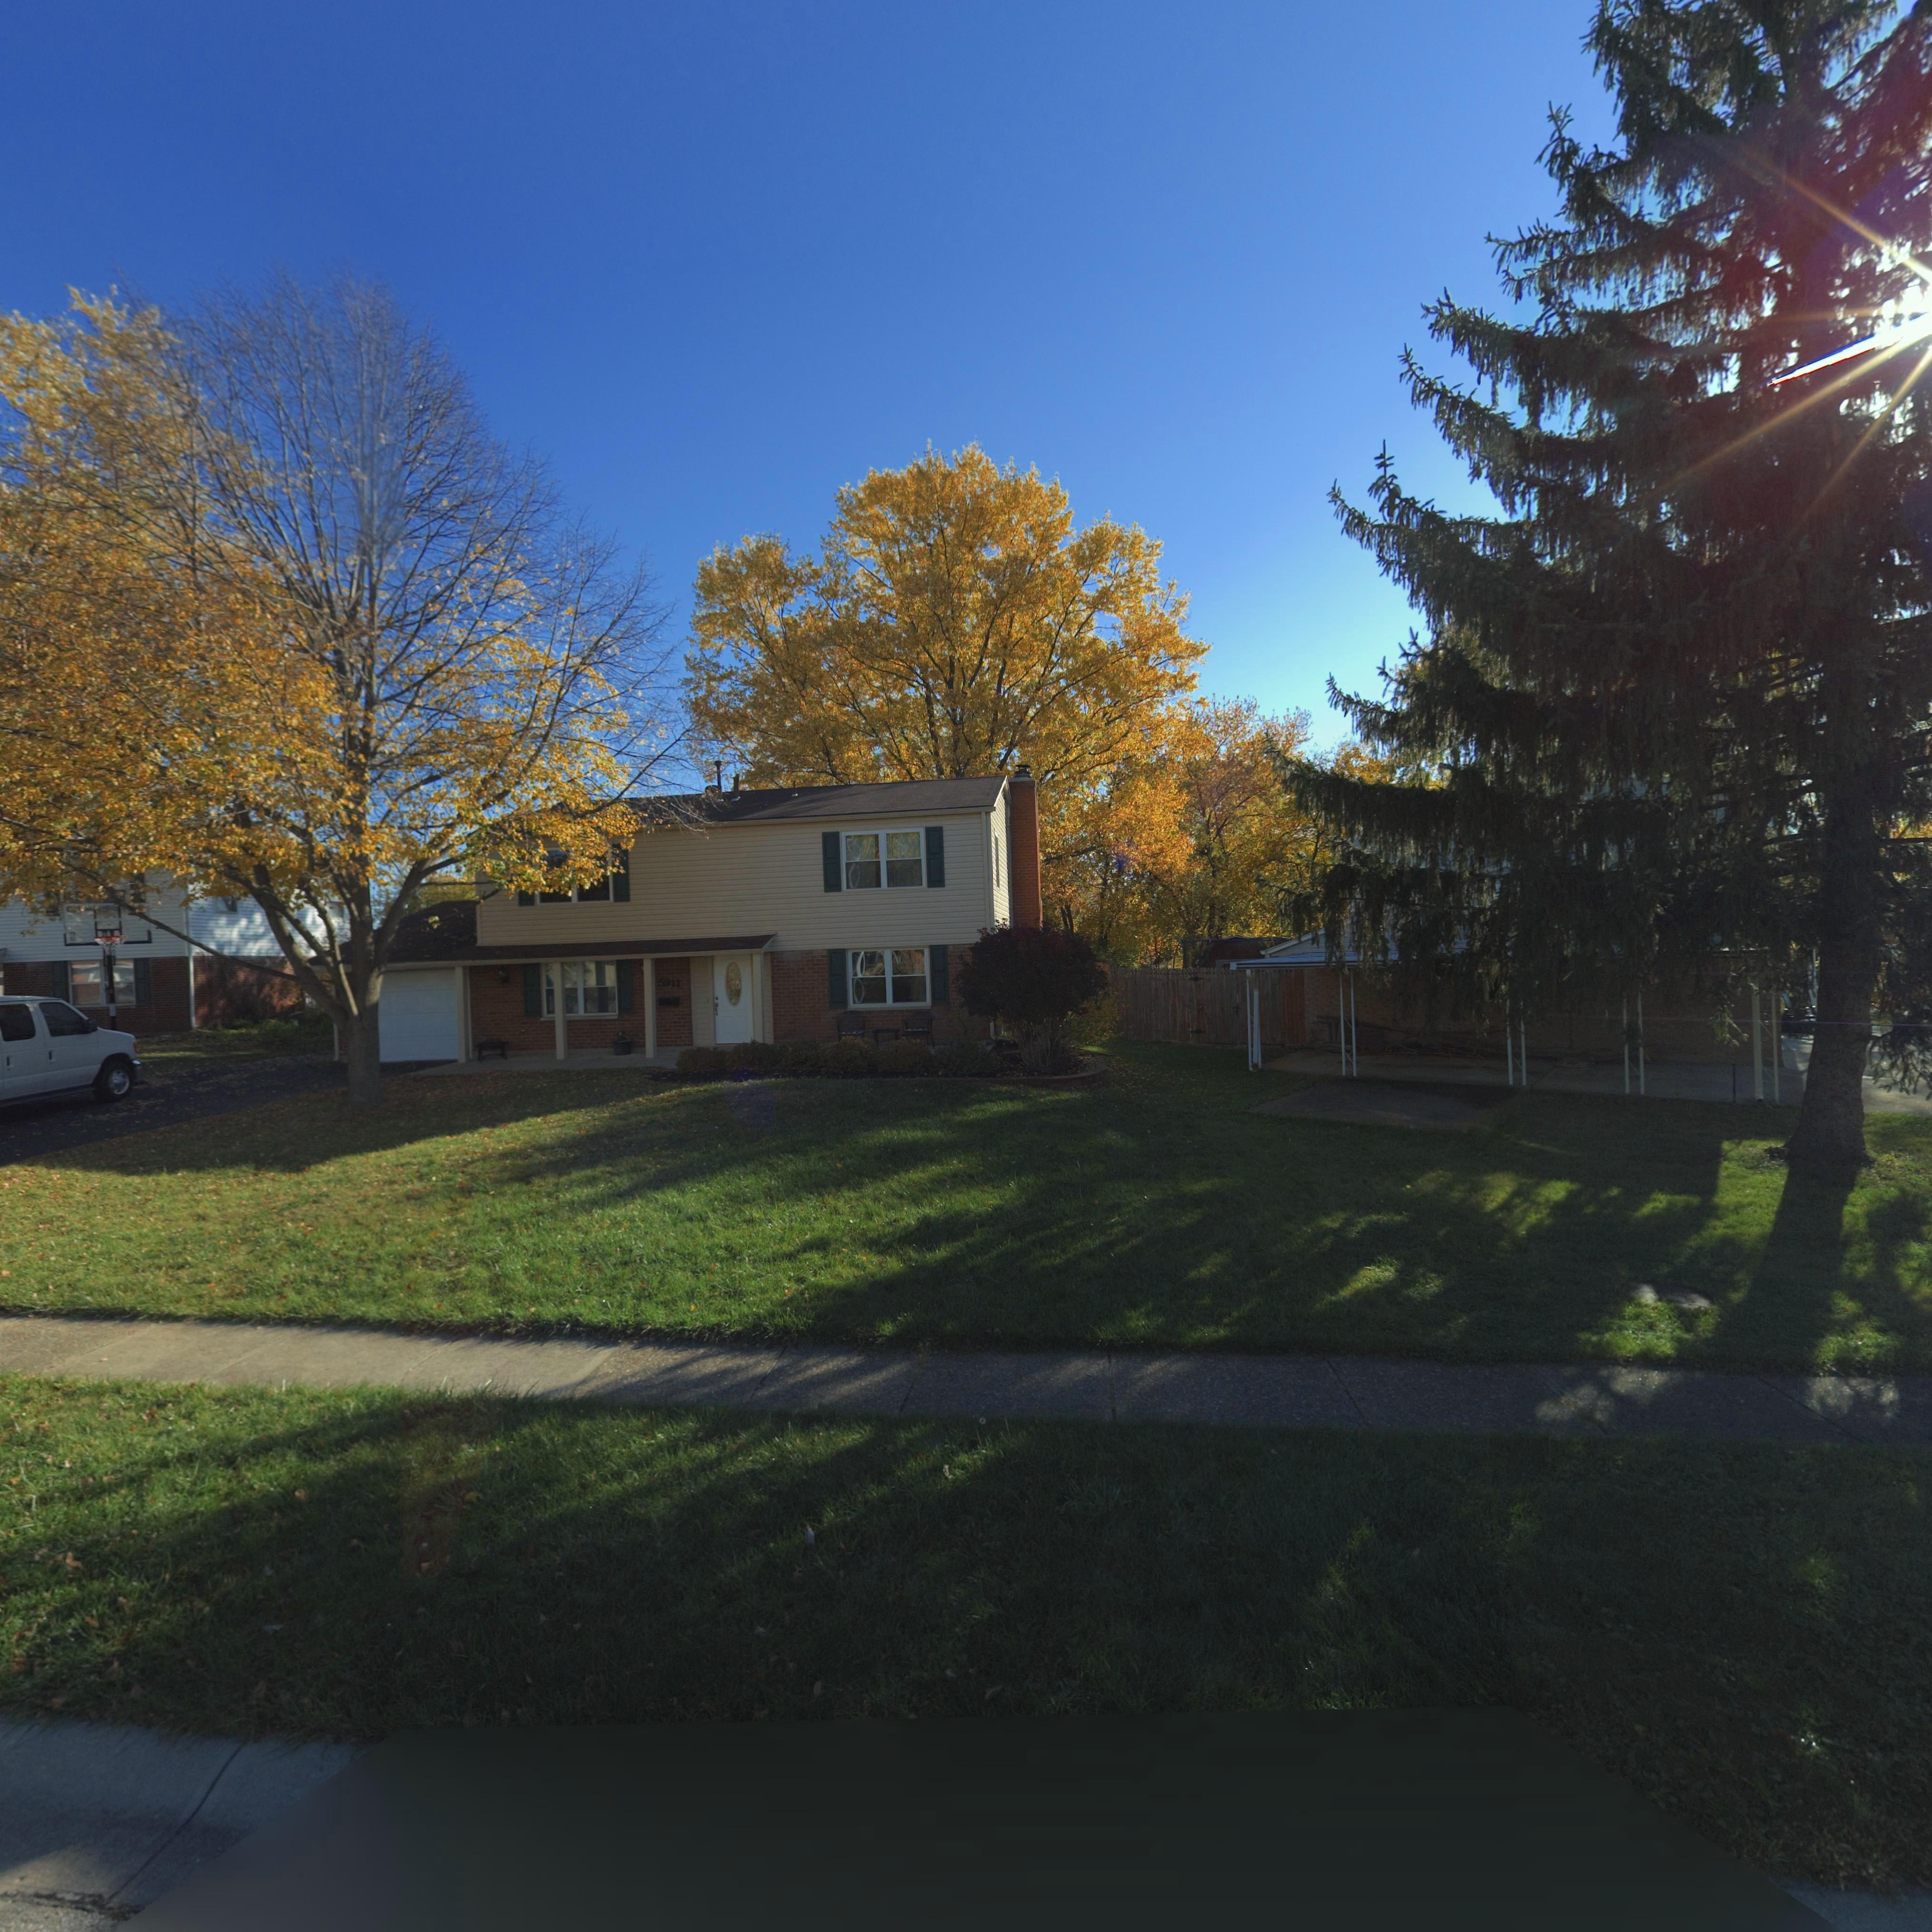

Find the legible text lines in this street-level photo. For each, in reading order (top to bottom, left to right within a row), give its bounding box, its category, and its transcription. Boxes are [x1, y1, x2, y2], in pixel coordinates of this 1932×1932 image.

[656, 977, 682, 988] StreetNumber: 591*